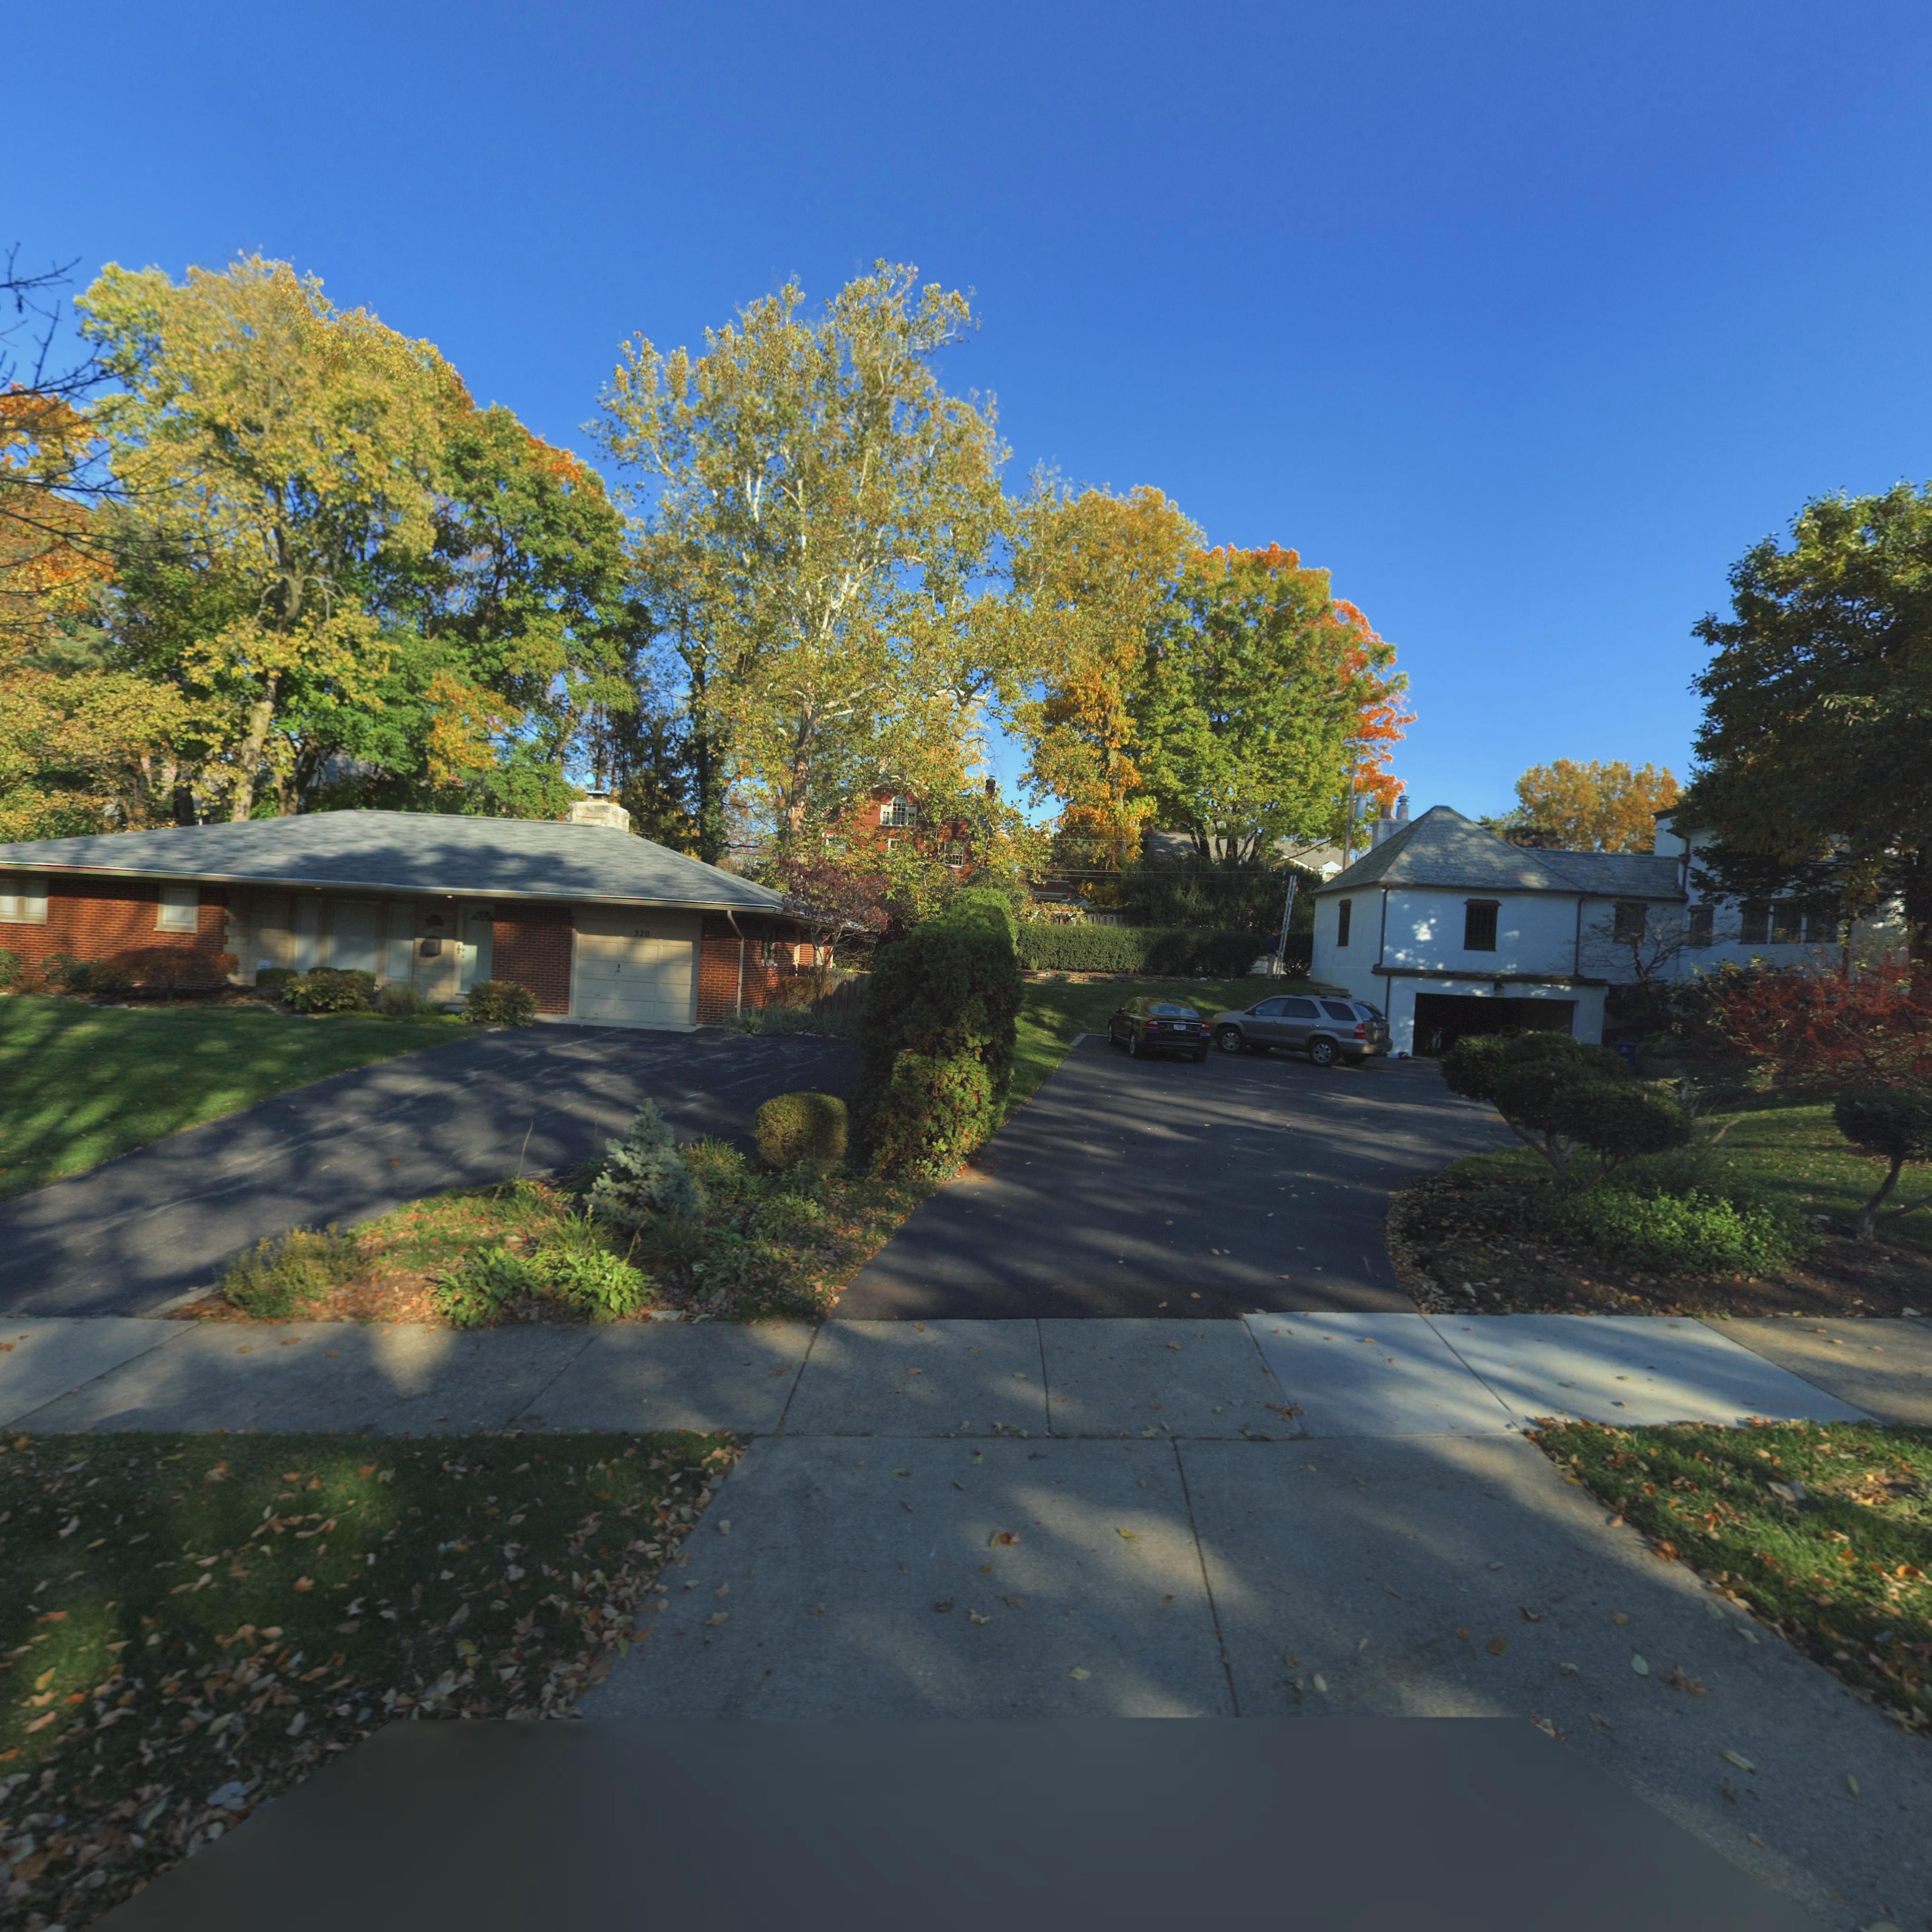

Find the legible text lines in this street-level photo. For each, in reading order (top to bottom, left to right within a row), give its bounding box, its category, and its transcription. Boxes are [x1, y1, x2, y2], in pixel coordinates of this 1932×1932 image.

[633, 929, 649, 937] StreetNumber: 320